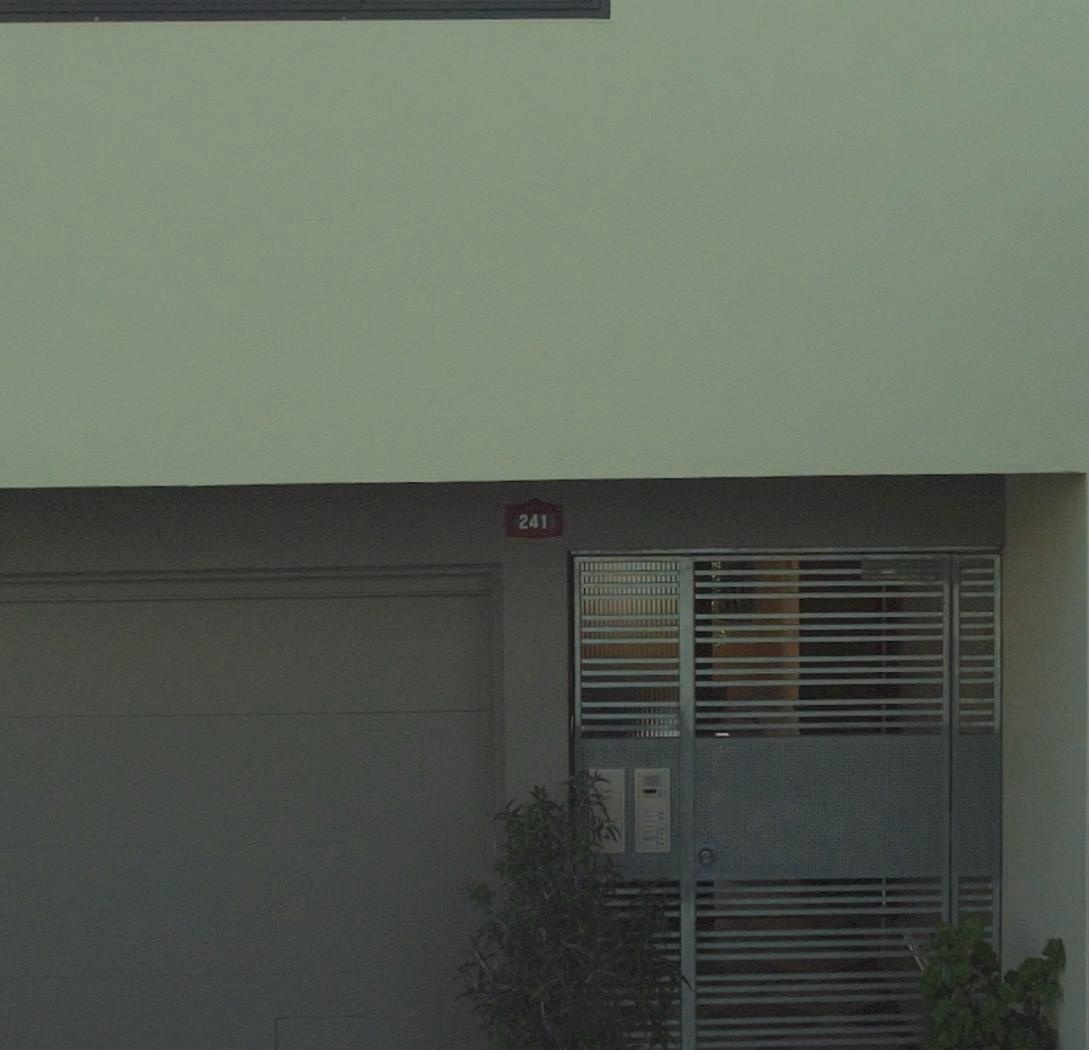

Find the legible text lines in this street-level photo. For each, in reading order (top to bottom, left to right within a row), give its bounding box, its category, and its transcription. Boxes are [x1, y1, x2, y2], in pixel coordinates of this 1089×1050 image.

[518, 513, 548, 531] StreetNumber: 241